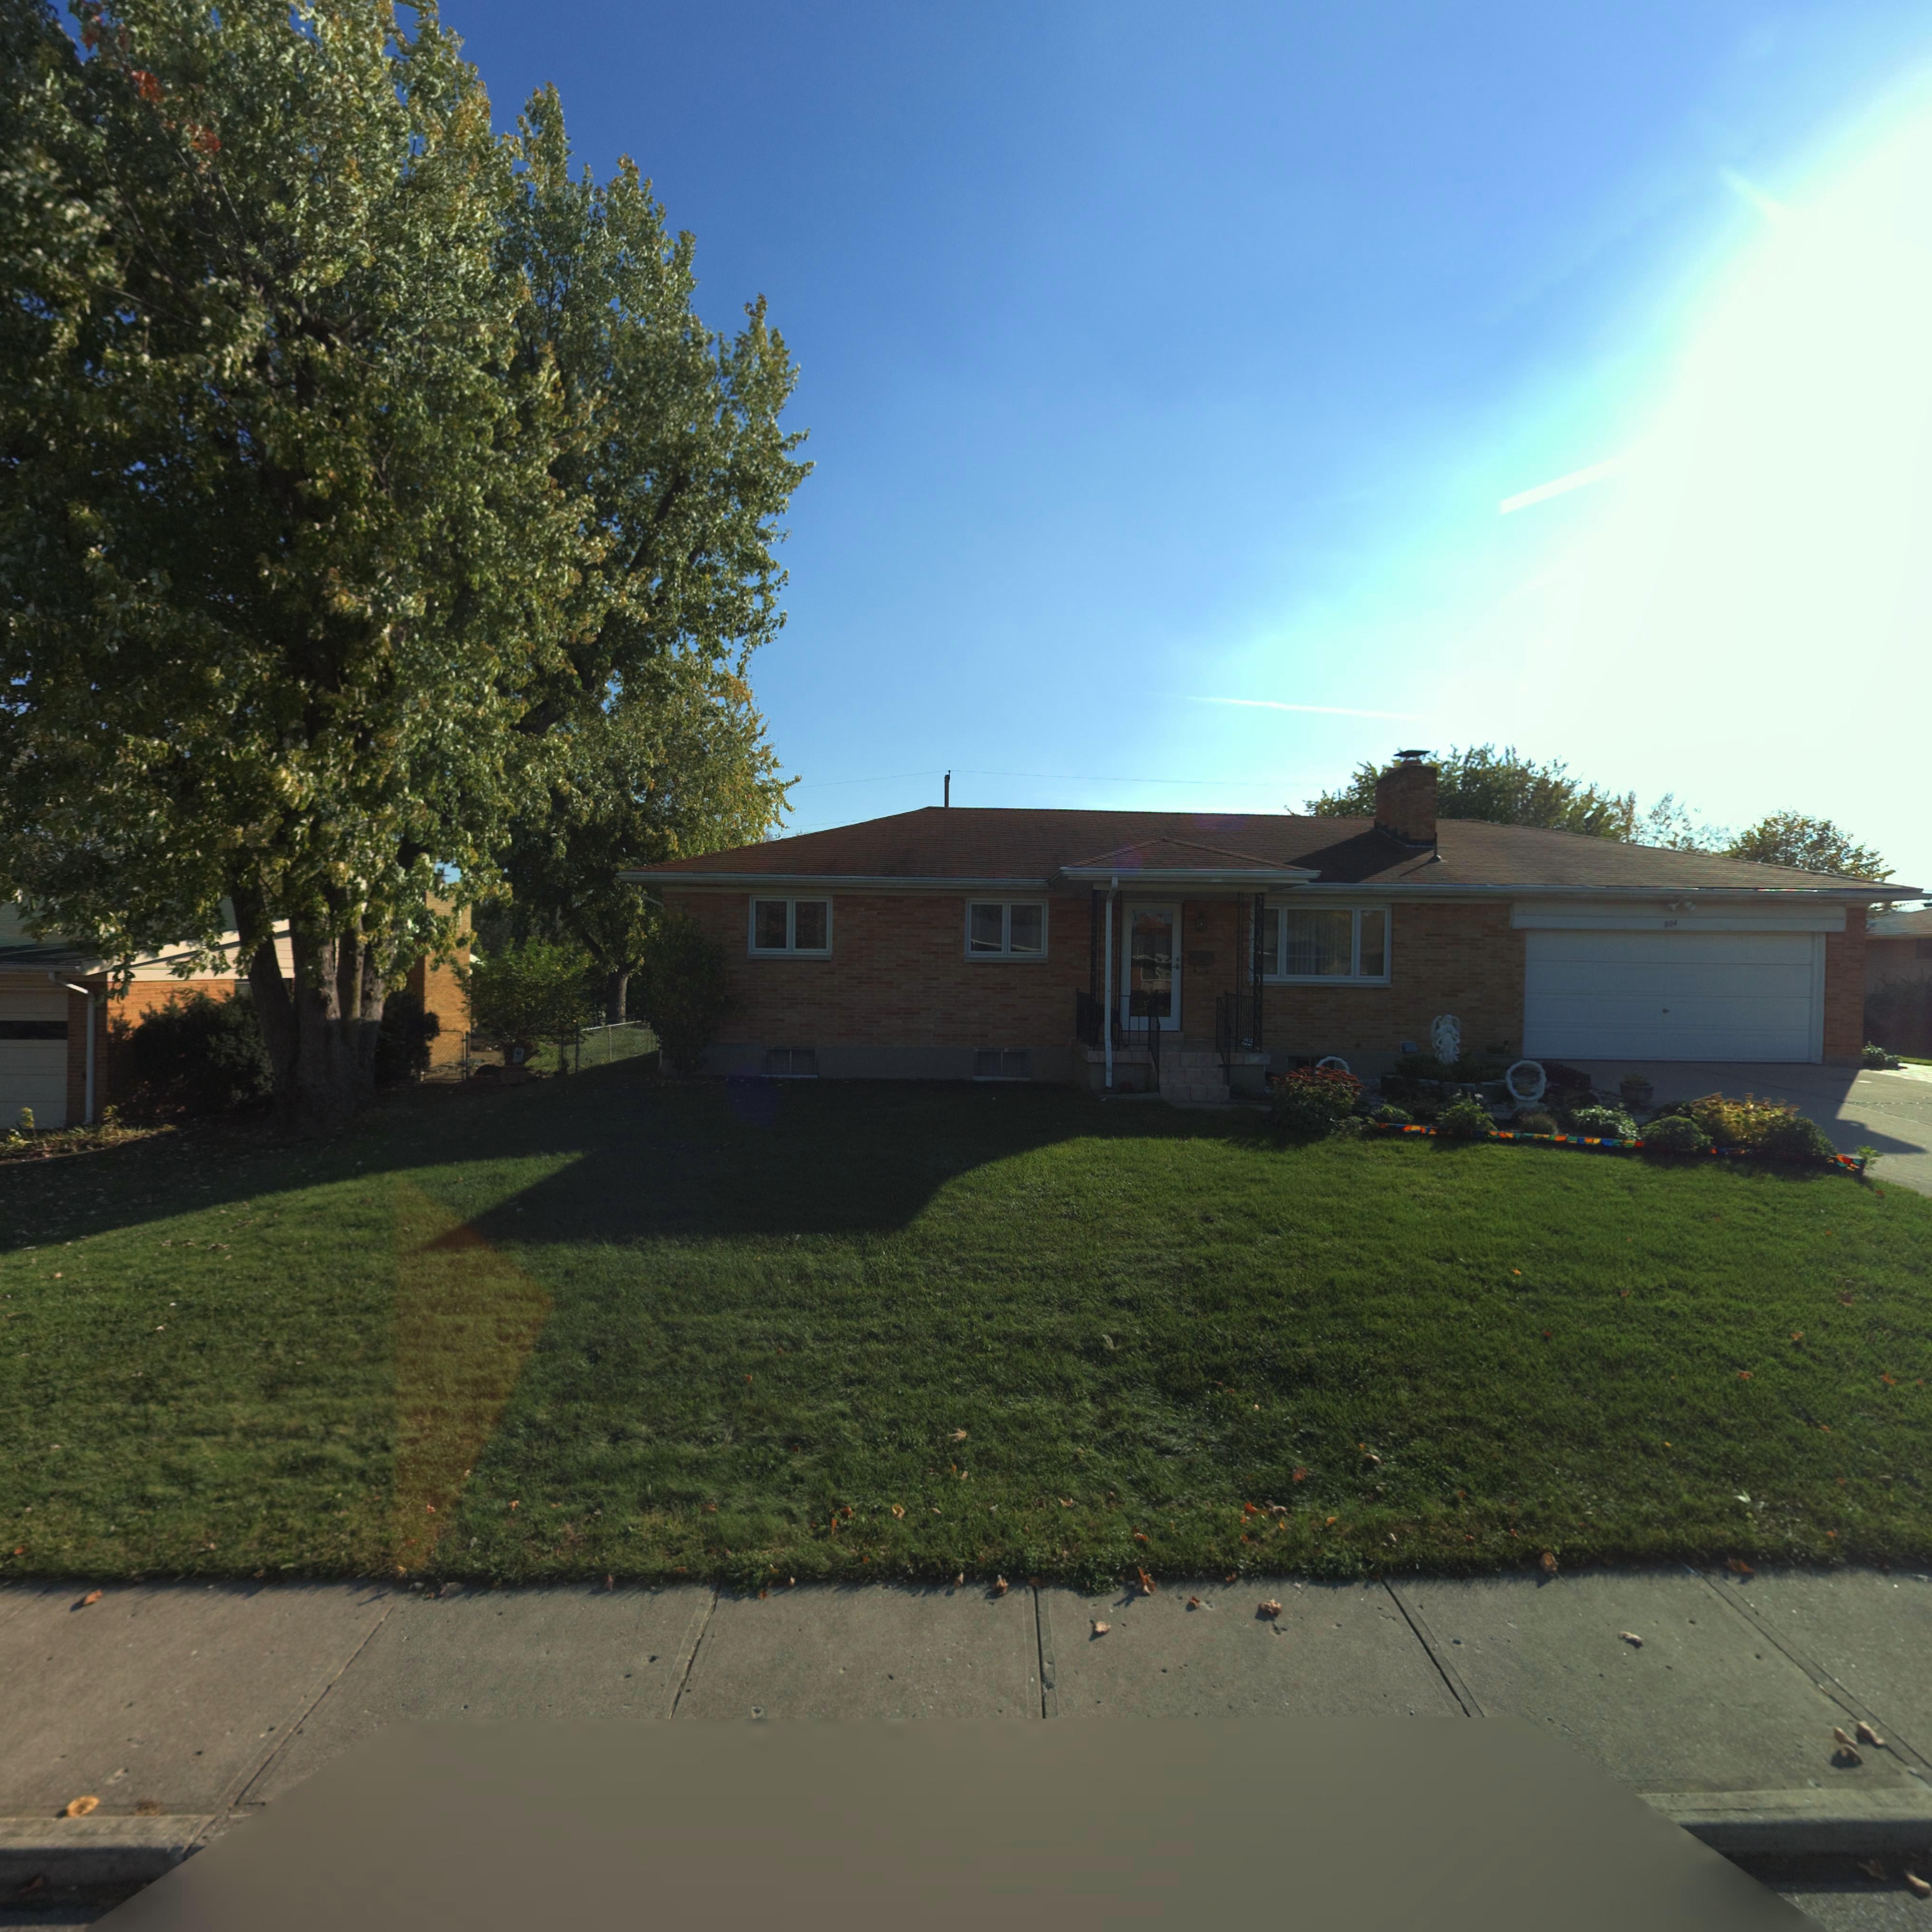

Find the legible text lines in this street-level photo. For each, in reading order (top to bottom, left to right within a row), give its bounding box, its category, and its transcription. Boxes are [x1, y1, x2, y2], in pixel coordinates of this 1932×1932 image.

[1663, 919, 1678, 928] StreetNumber: 804